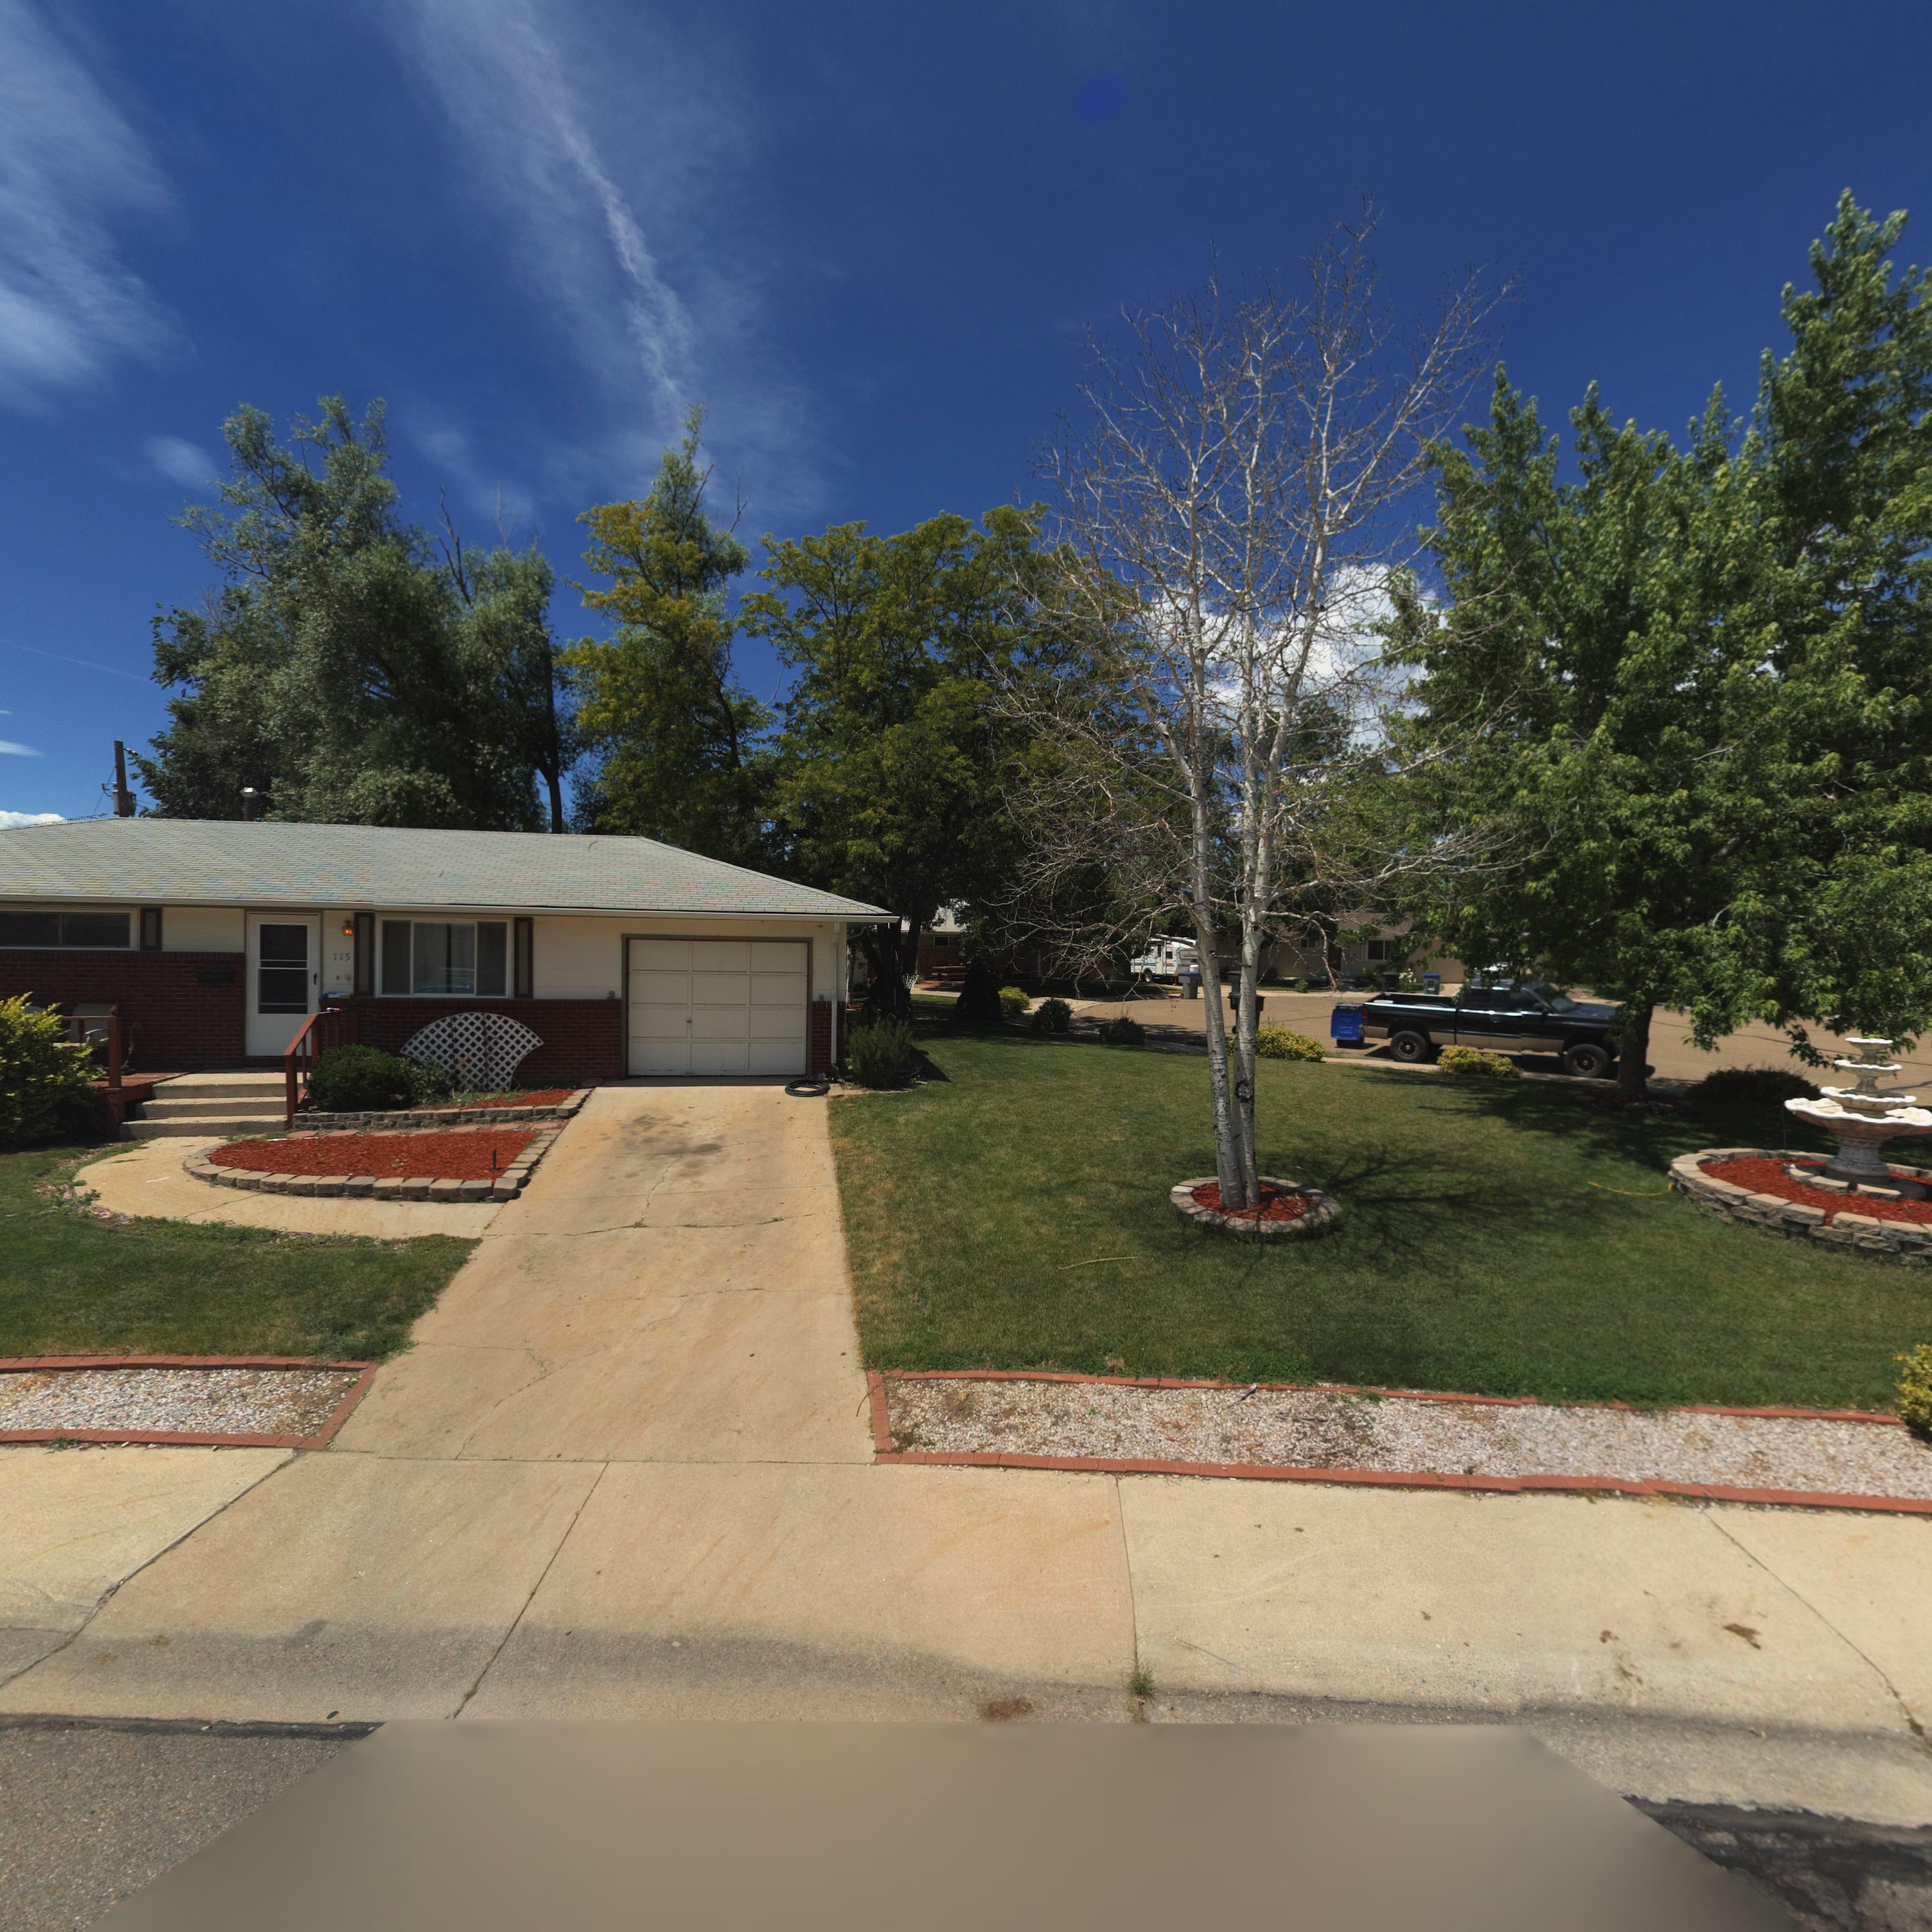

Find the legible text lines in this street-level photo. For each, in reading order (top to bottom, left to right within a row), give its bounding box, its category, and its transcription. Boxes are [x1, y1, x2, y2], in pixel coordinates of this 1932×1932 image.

[334, 953, 350, 961] StreetNumber: 115